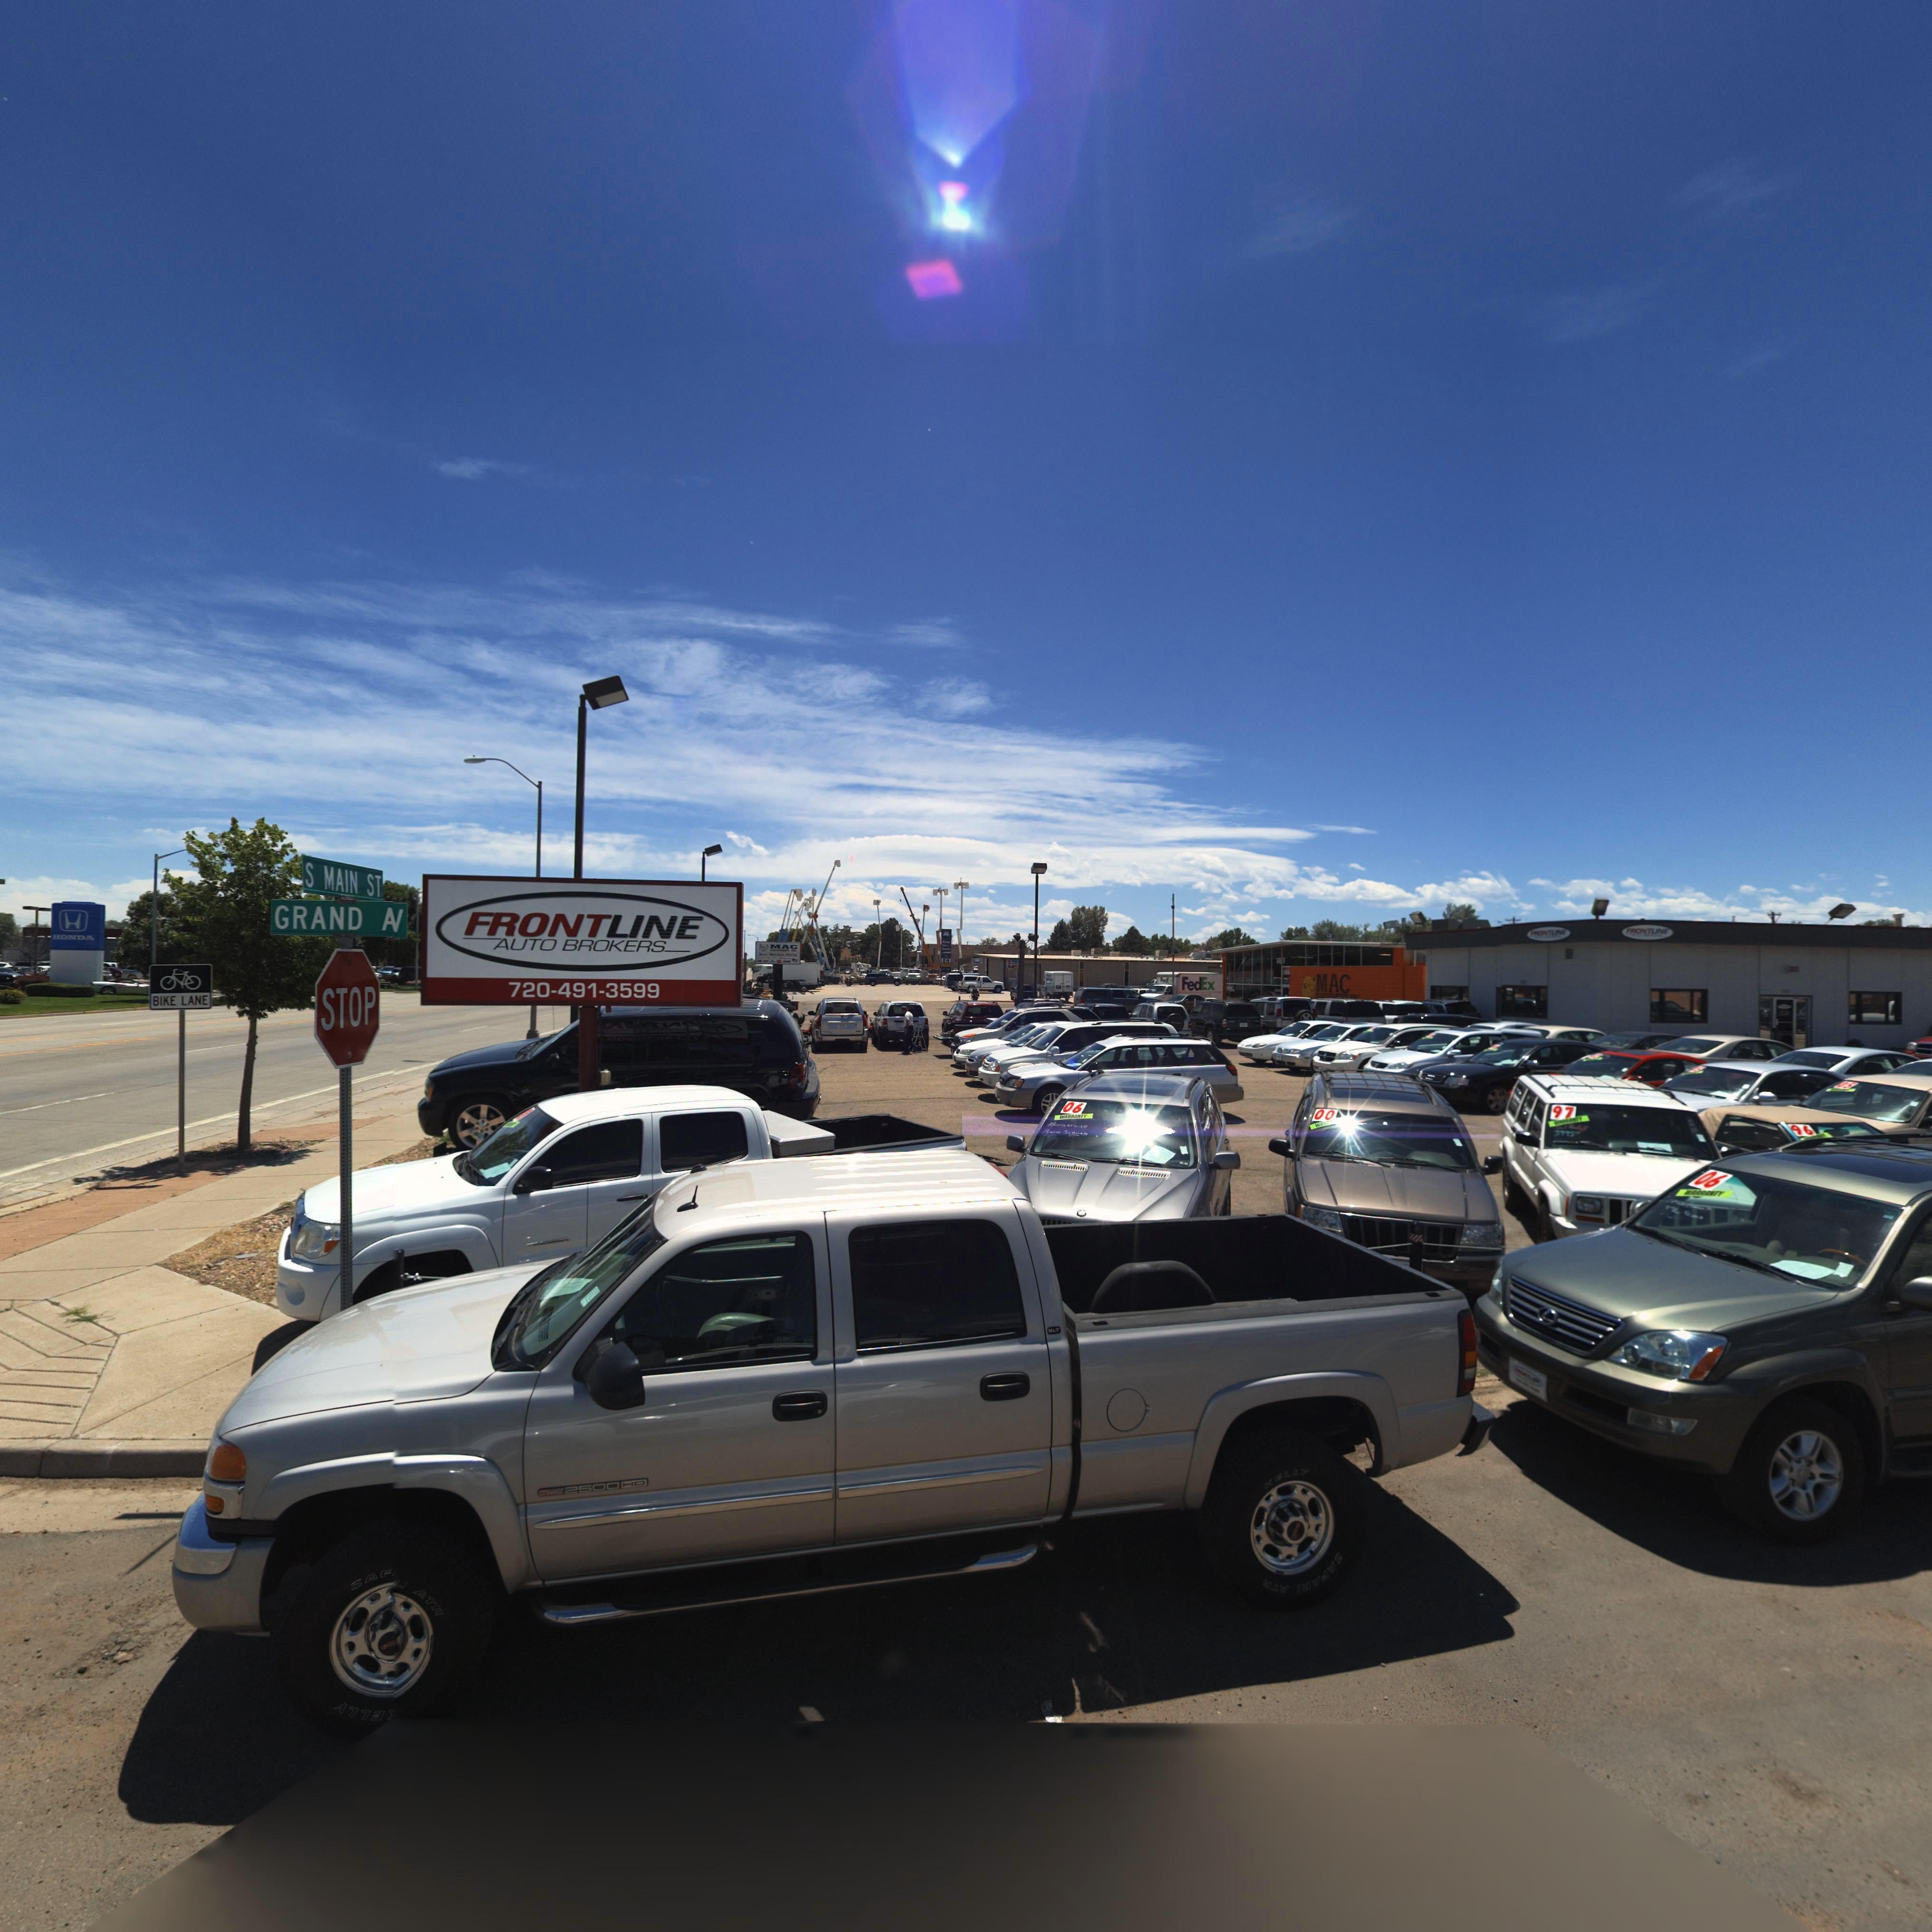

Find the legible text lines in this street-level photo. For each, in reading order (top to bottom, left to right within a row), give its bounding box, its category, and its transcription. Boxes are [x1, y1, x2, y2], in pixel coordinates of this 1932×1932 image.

[303, 860, 383, 898] StreetName: S MAIN ST
[273, 904, 405, 935] StreetName: GRAND A*
[462, 910, 705, 940] BusinessName: FRONTLINE
[1529, 928, 1566, 937] BusinessName: FRONTLINE
[1625, 927, 1669, 935] BusinessName: FRONTLINE
[52, 934, 96, 940] BusinessName: HONDA
[489, 937, 669, 954] BusinessName: AUTO BROKERS
[770, 949, 797, 952] BusinessName: *****MENT IN*
[770, 944, 798, 949] BusinessName: MAC
[1005, 961, 1018, 965] BusinessName: C******T
[1315, 973, 1351, 994] BusinessName: MAC